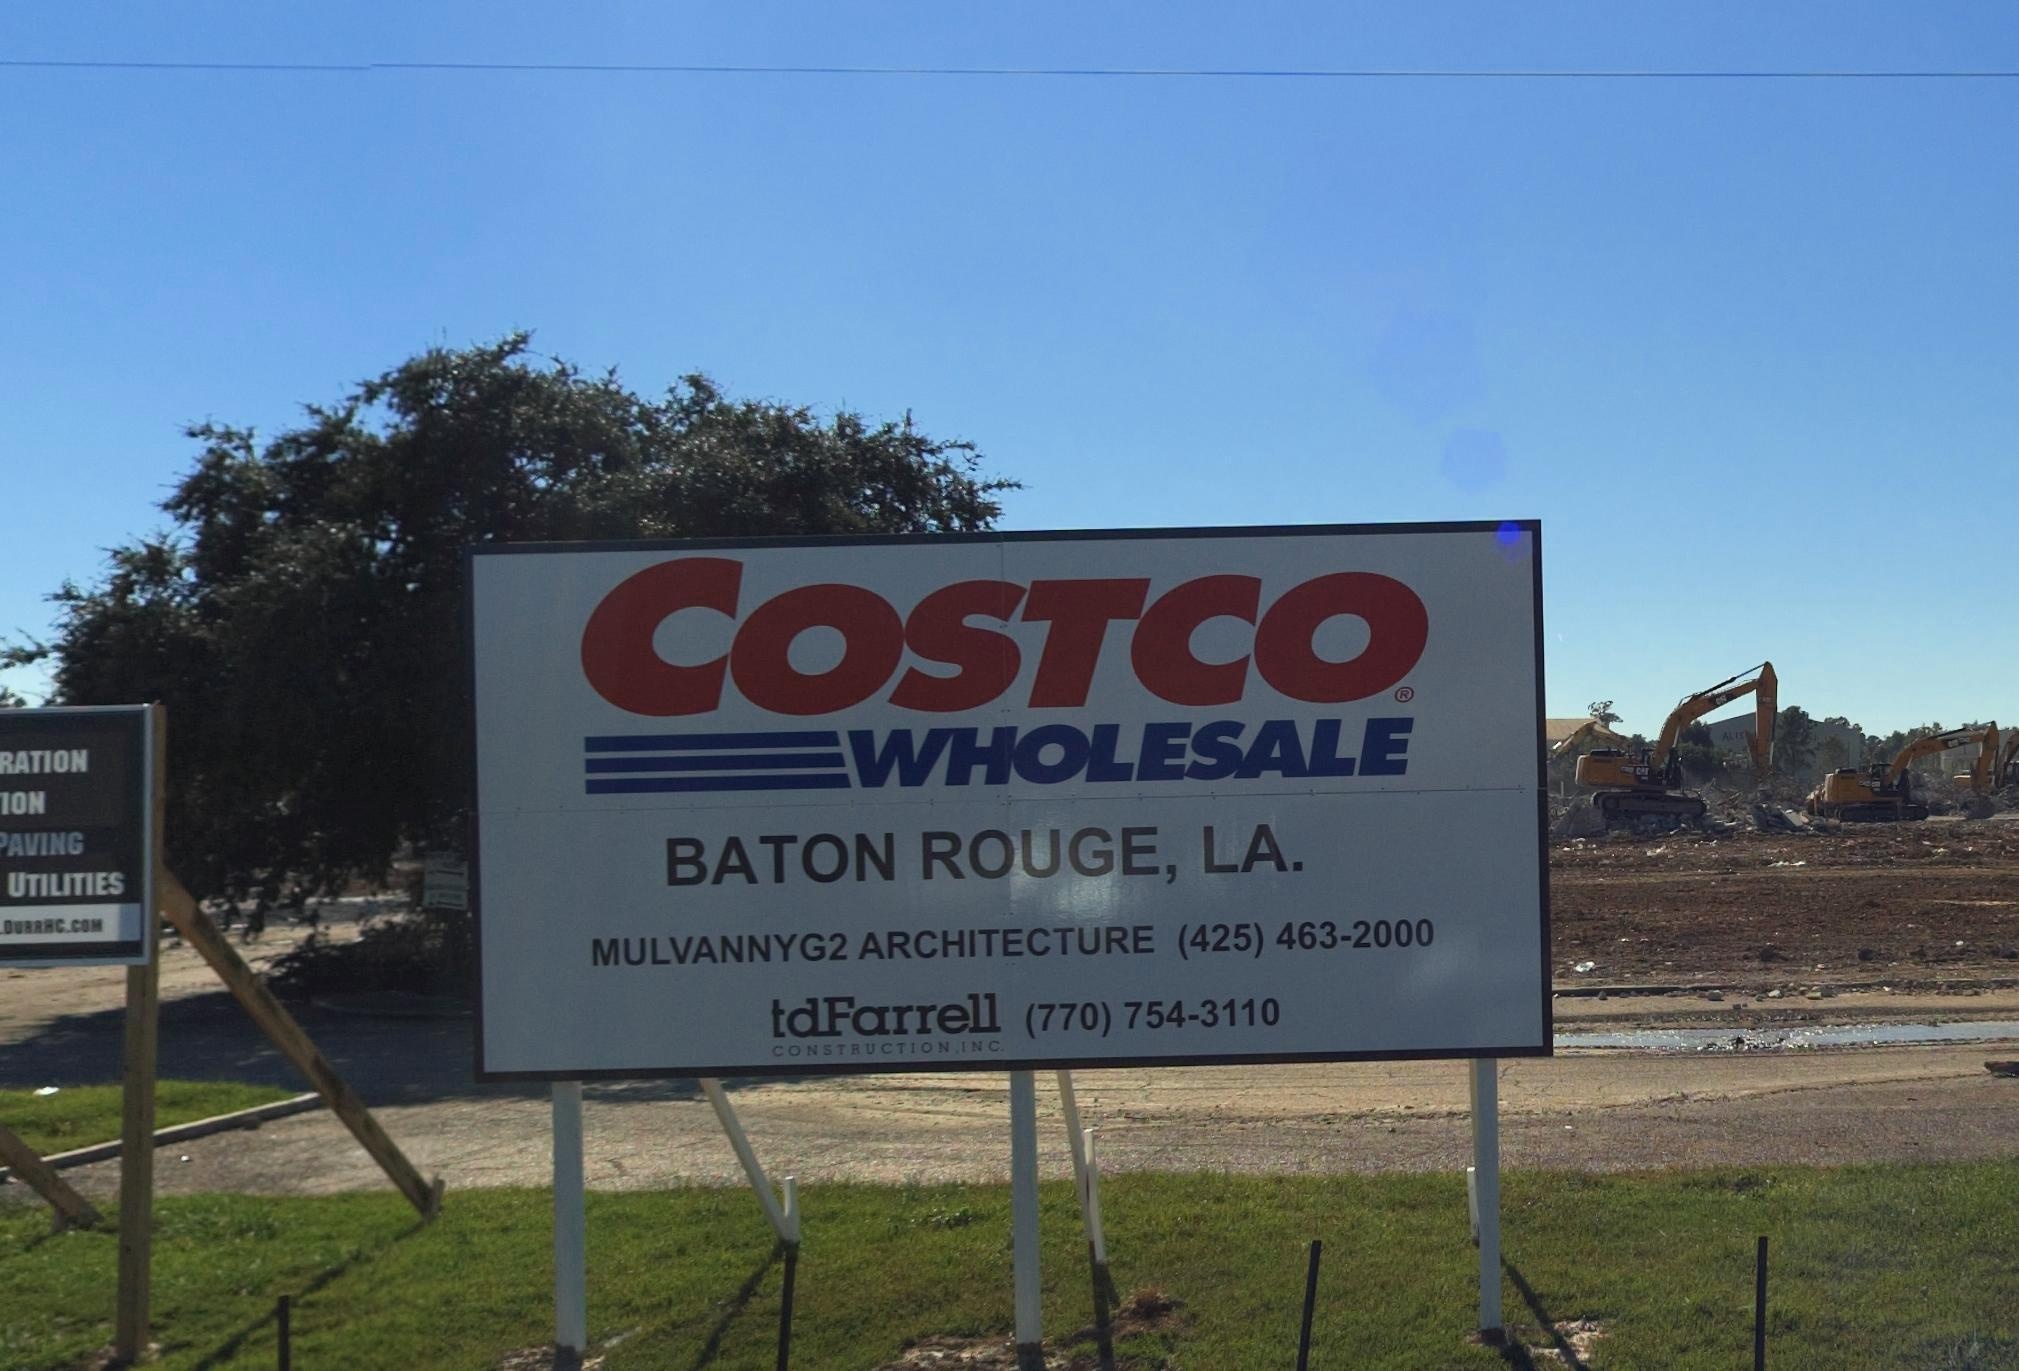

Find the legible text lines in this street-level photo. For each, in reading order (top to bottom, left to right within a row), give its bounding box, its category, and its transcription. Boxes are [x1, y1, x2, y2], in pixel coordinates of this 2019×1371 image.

[563, 549, 1442, 723] BusinessName: COSTCO
[0, 744, 91, 778] None: RATION
[840, 710, 1421, 794] None: WHOLESALE
[0, 787, 50, 819] None: ION
[3, 827, 87, 861] None: AVING
[660, 817, 1308, 890] None: BATON ROUGE, LA.
[4, 868, 129, 901] None: UTILITIES
[1, 915, 109, 938] None: D****C.COM
[585, 920, 1161, 973] None: MULVANNYG2 ARCHITECTURE
[1174, 914, 1438, 966] None: (425) 463-2000
[768, 989, 1005, 1042] None: tdFarrell
[1022, 994, 1283, 1043] None: (770) 754-3110
[769, 1038, 1007, 1061] None: CONSTRUCTION ,inc.